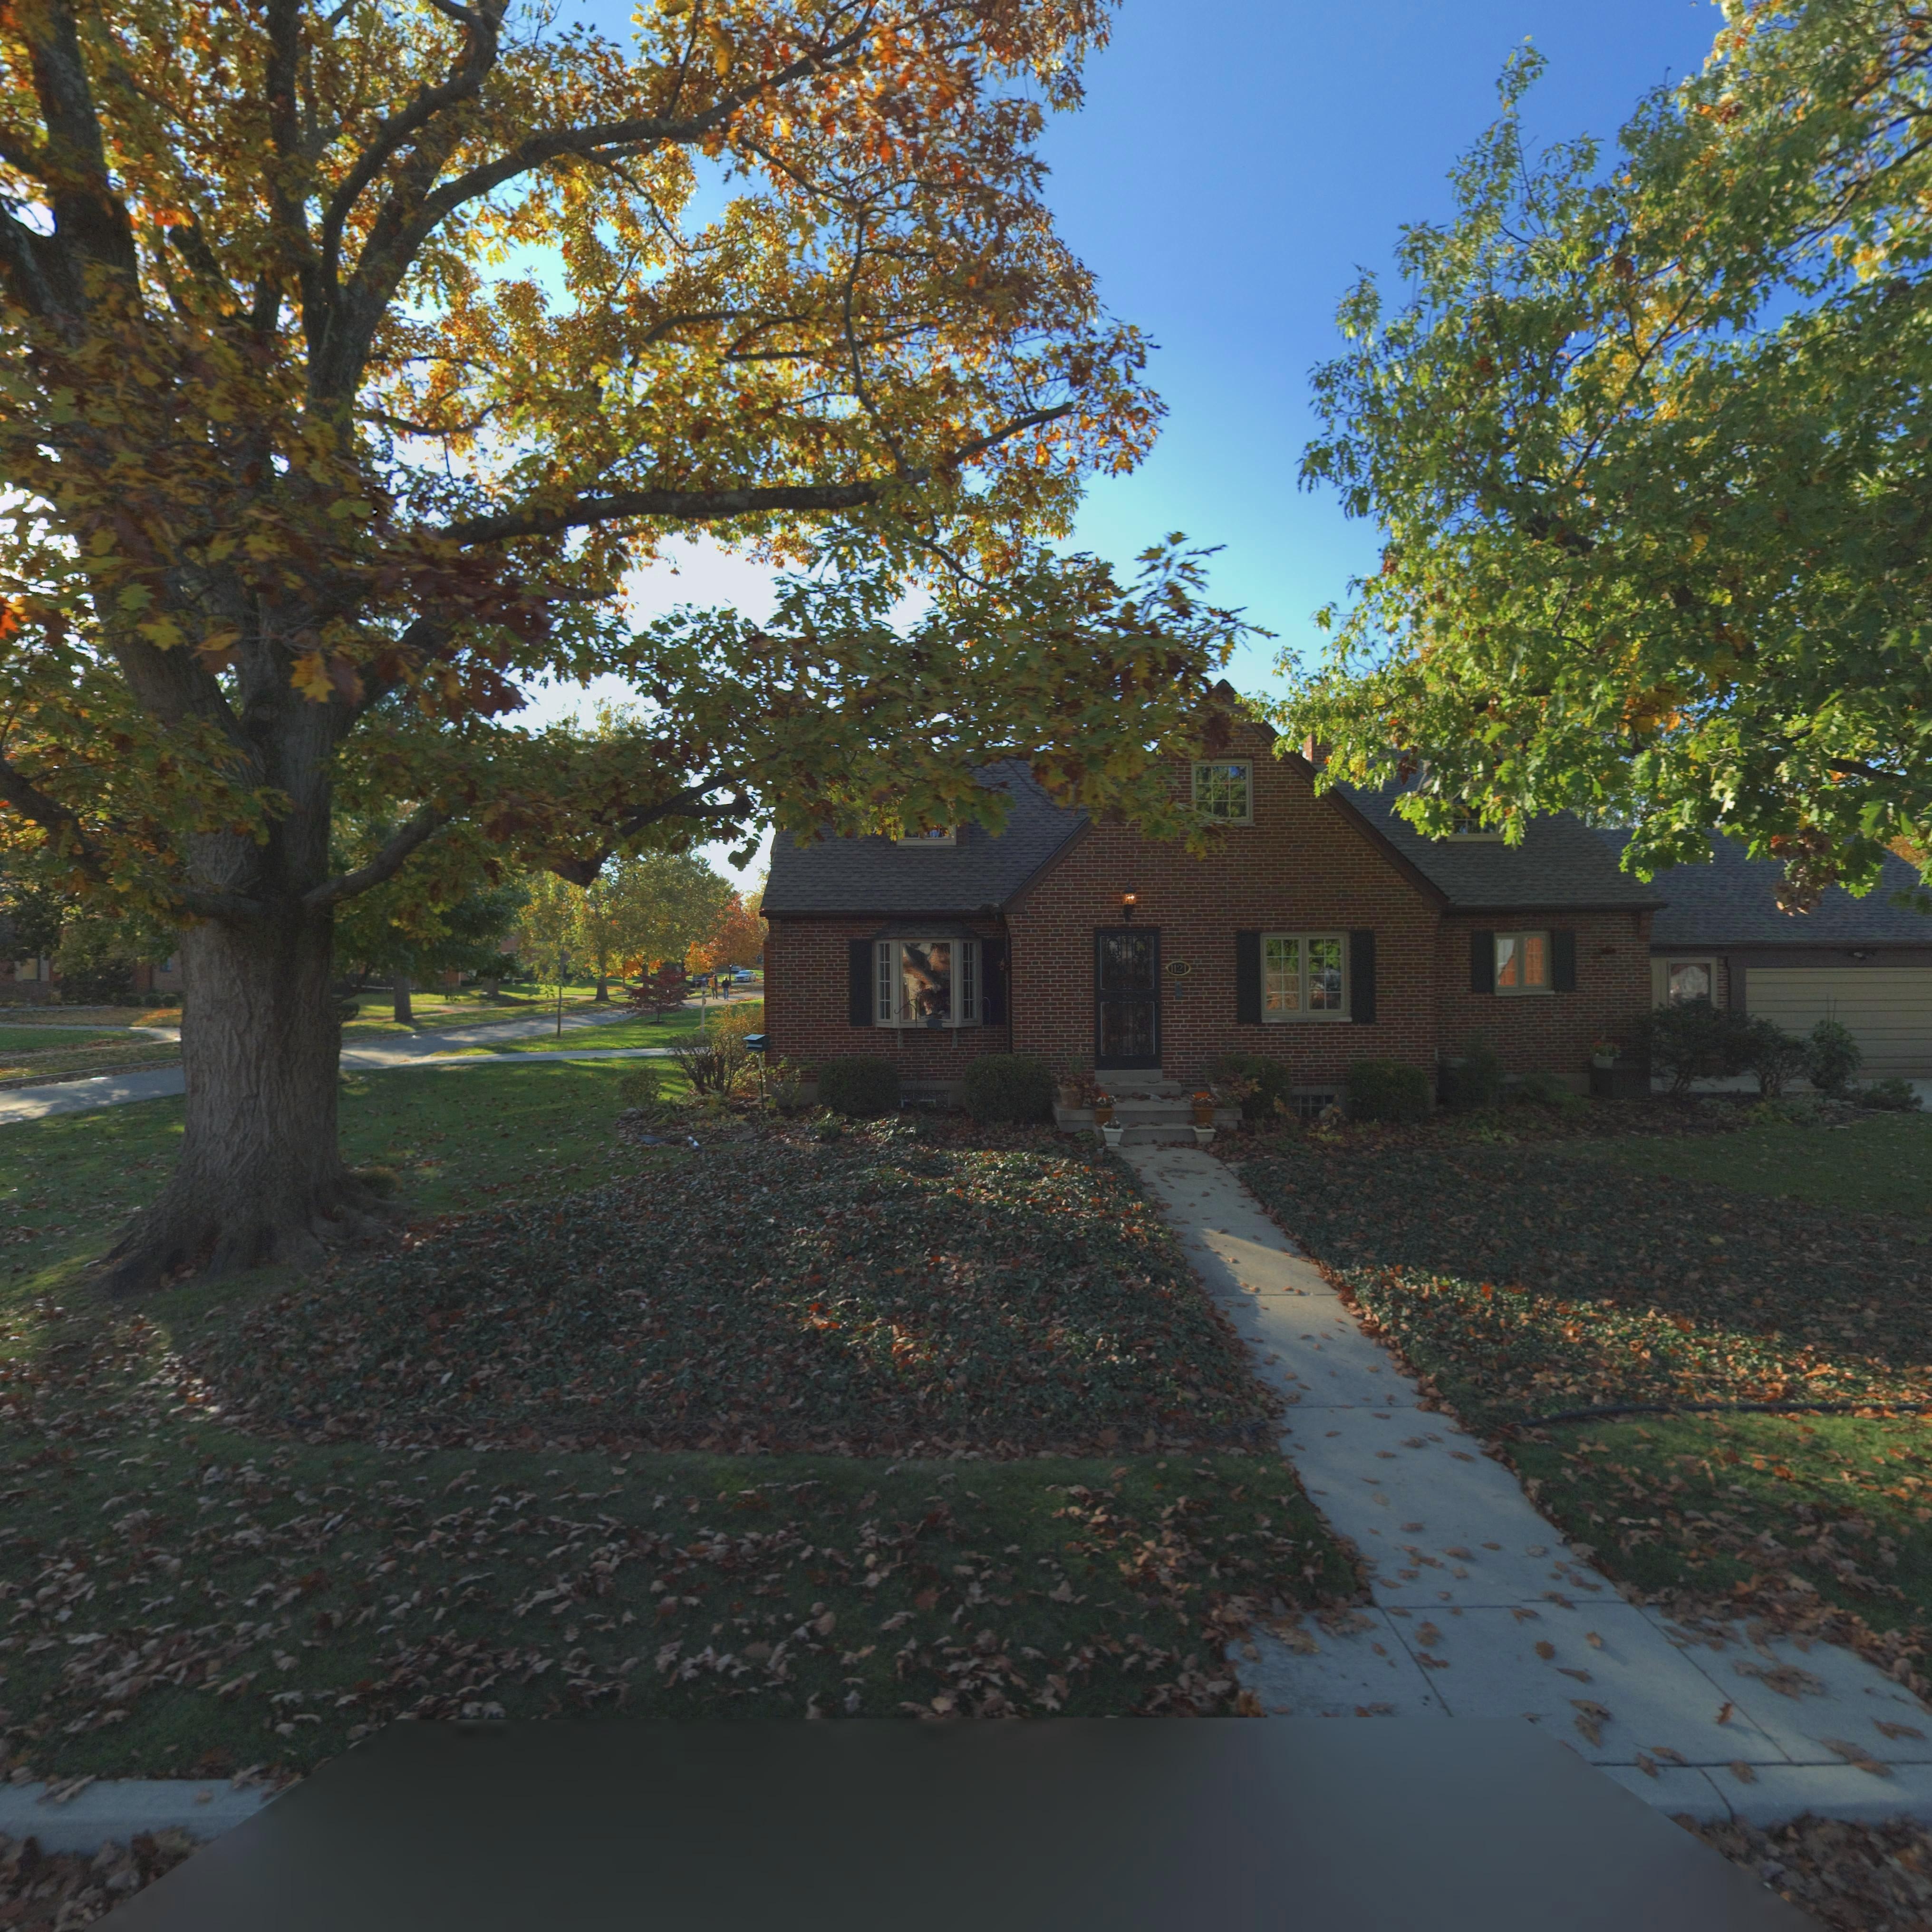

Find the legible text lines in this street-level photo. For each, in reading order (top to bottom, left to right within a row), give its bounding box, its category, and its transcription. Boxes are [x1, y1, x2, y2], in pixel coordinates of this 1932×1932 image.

[1170, 964, 1186, 972] StreetNumber: 1121